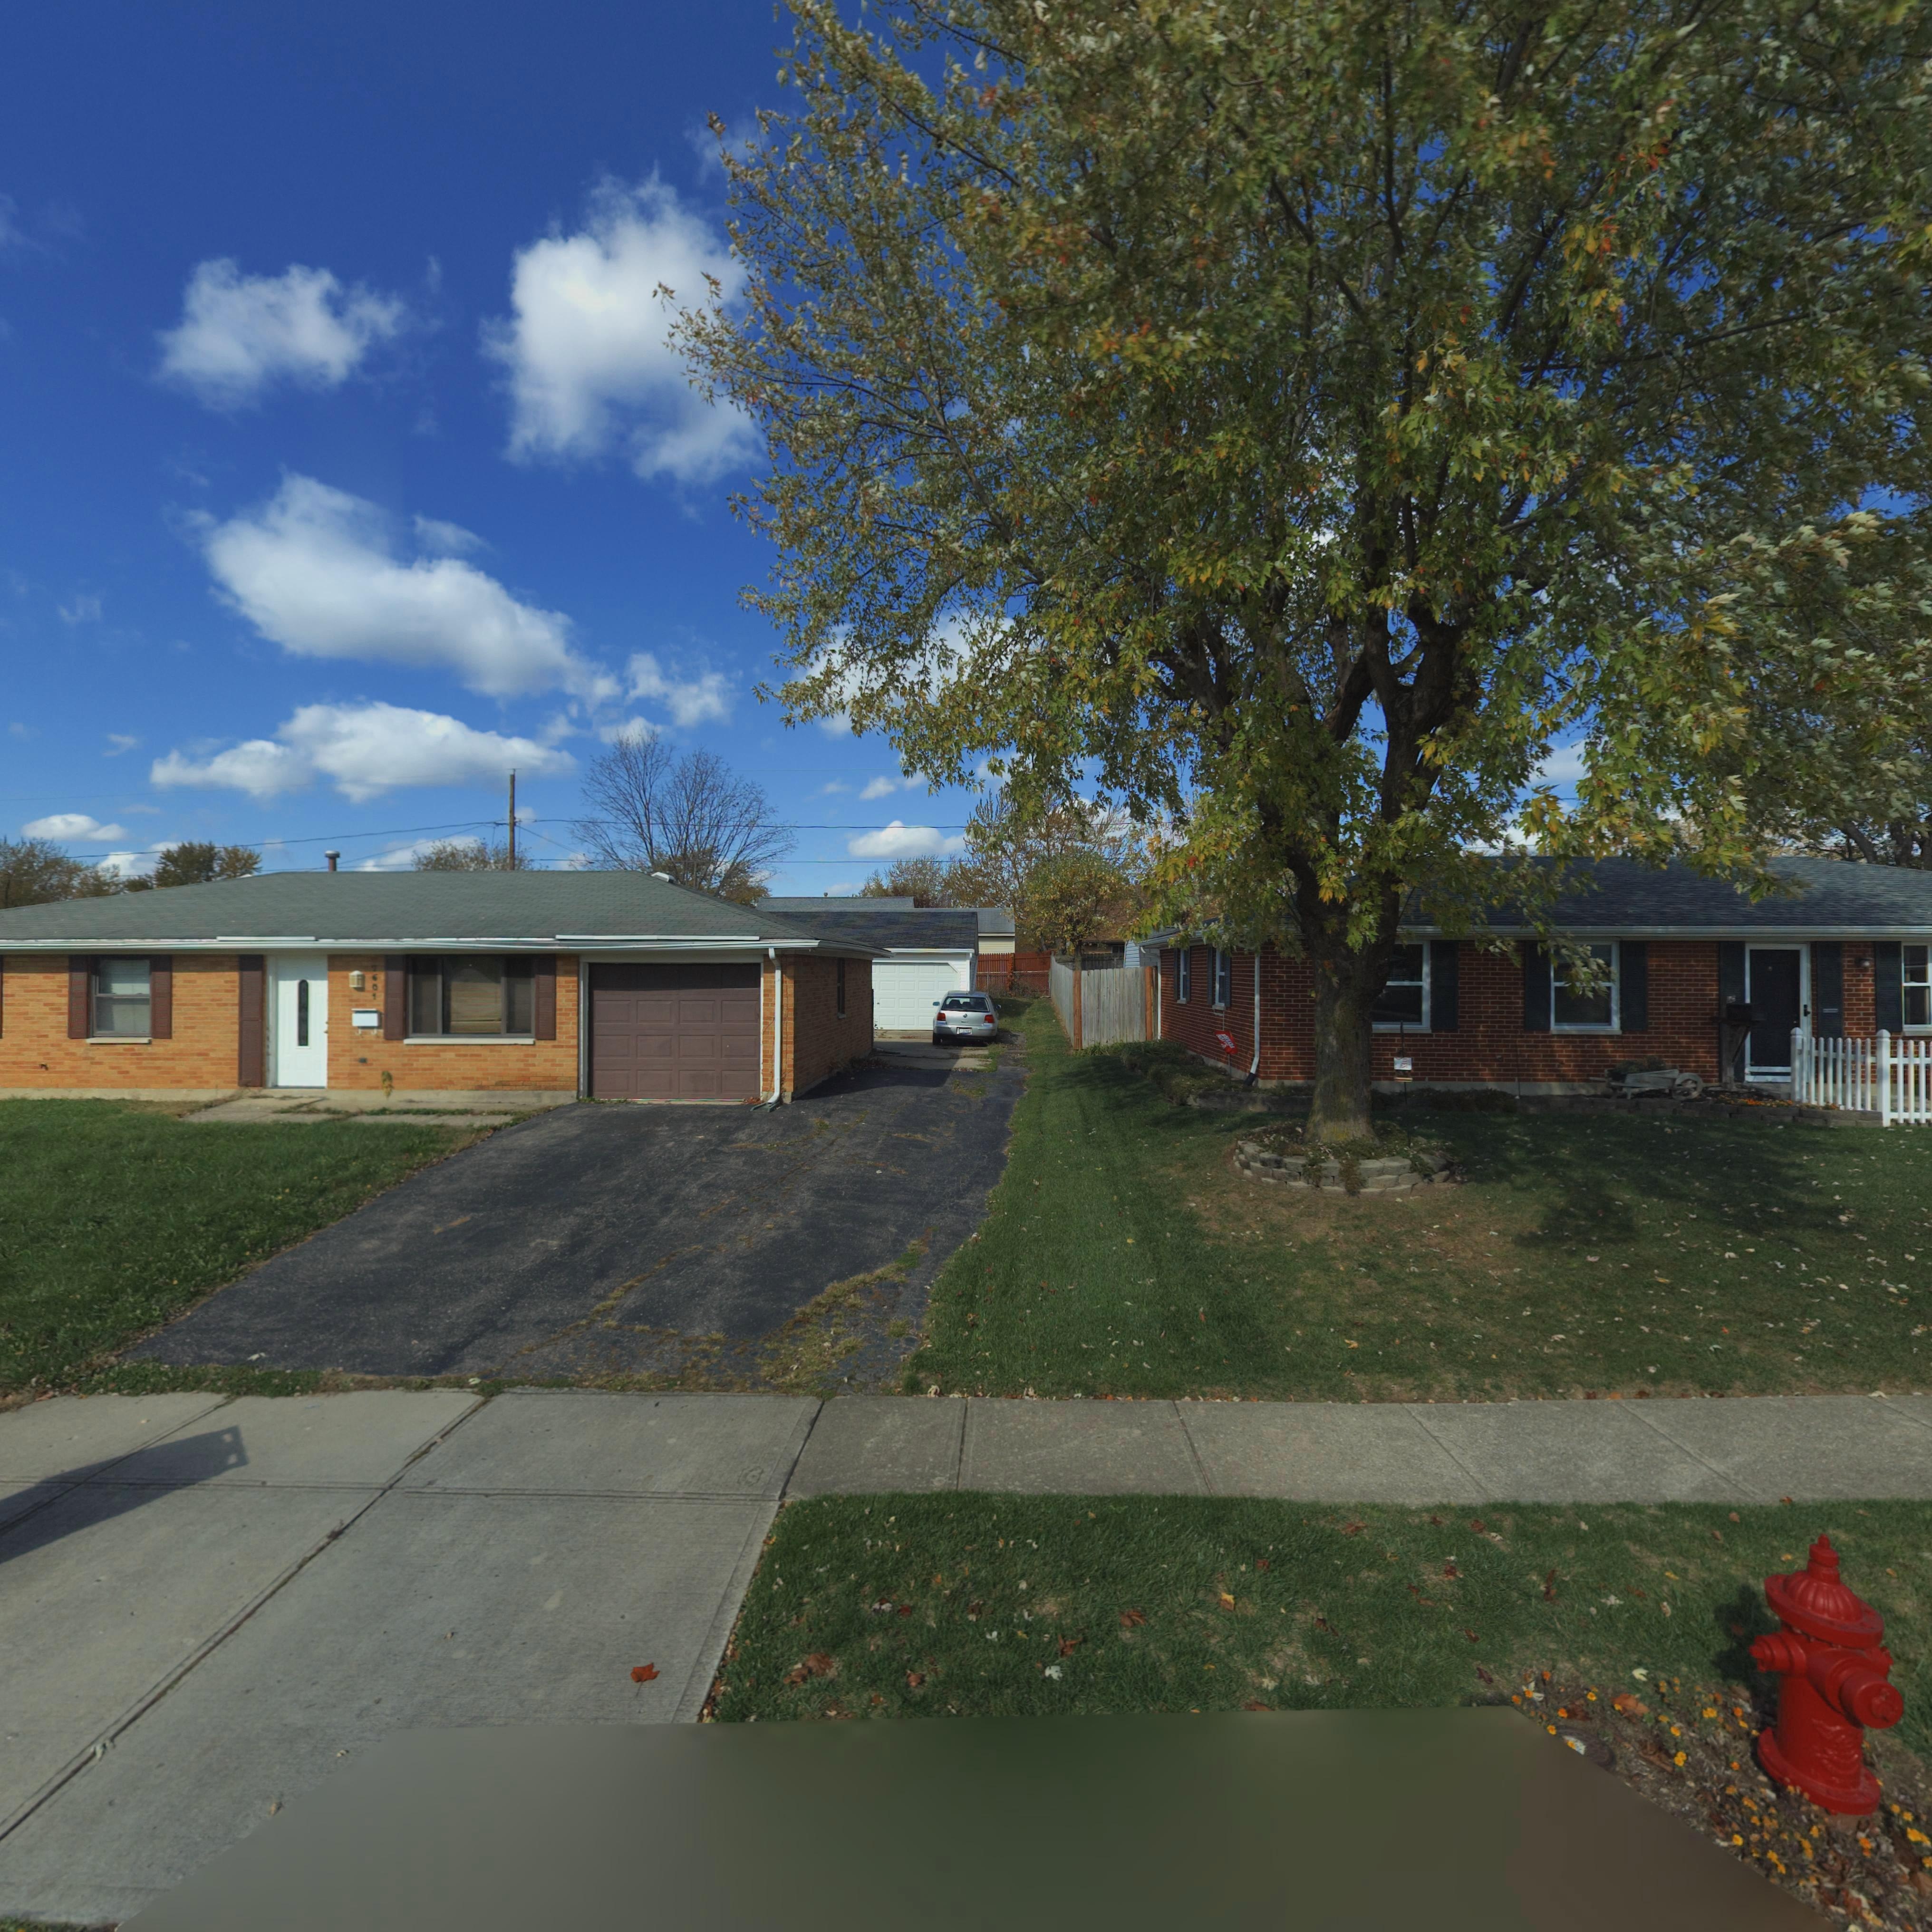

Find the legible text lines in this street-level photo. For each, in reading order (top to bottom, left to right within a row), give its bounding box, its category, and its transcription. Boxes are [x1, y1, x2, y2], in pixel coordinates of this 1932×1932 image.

[370, 964, 378, 1001] StreetNumber: 7601